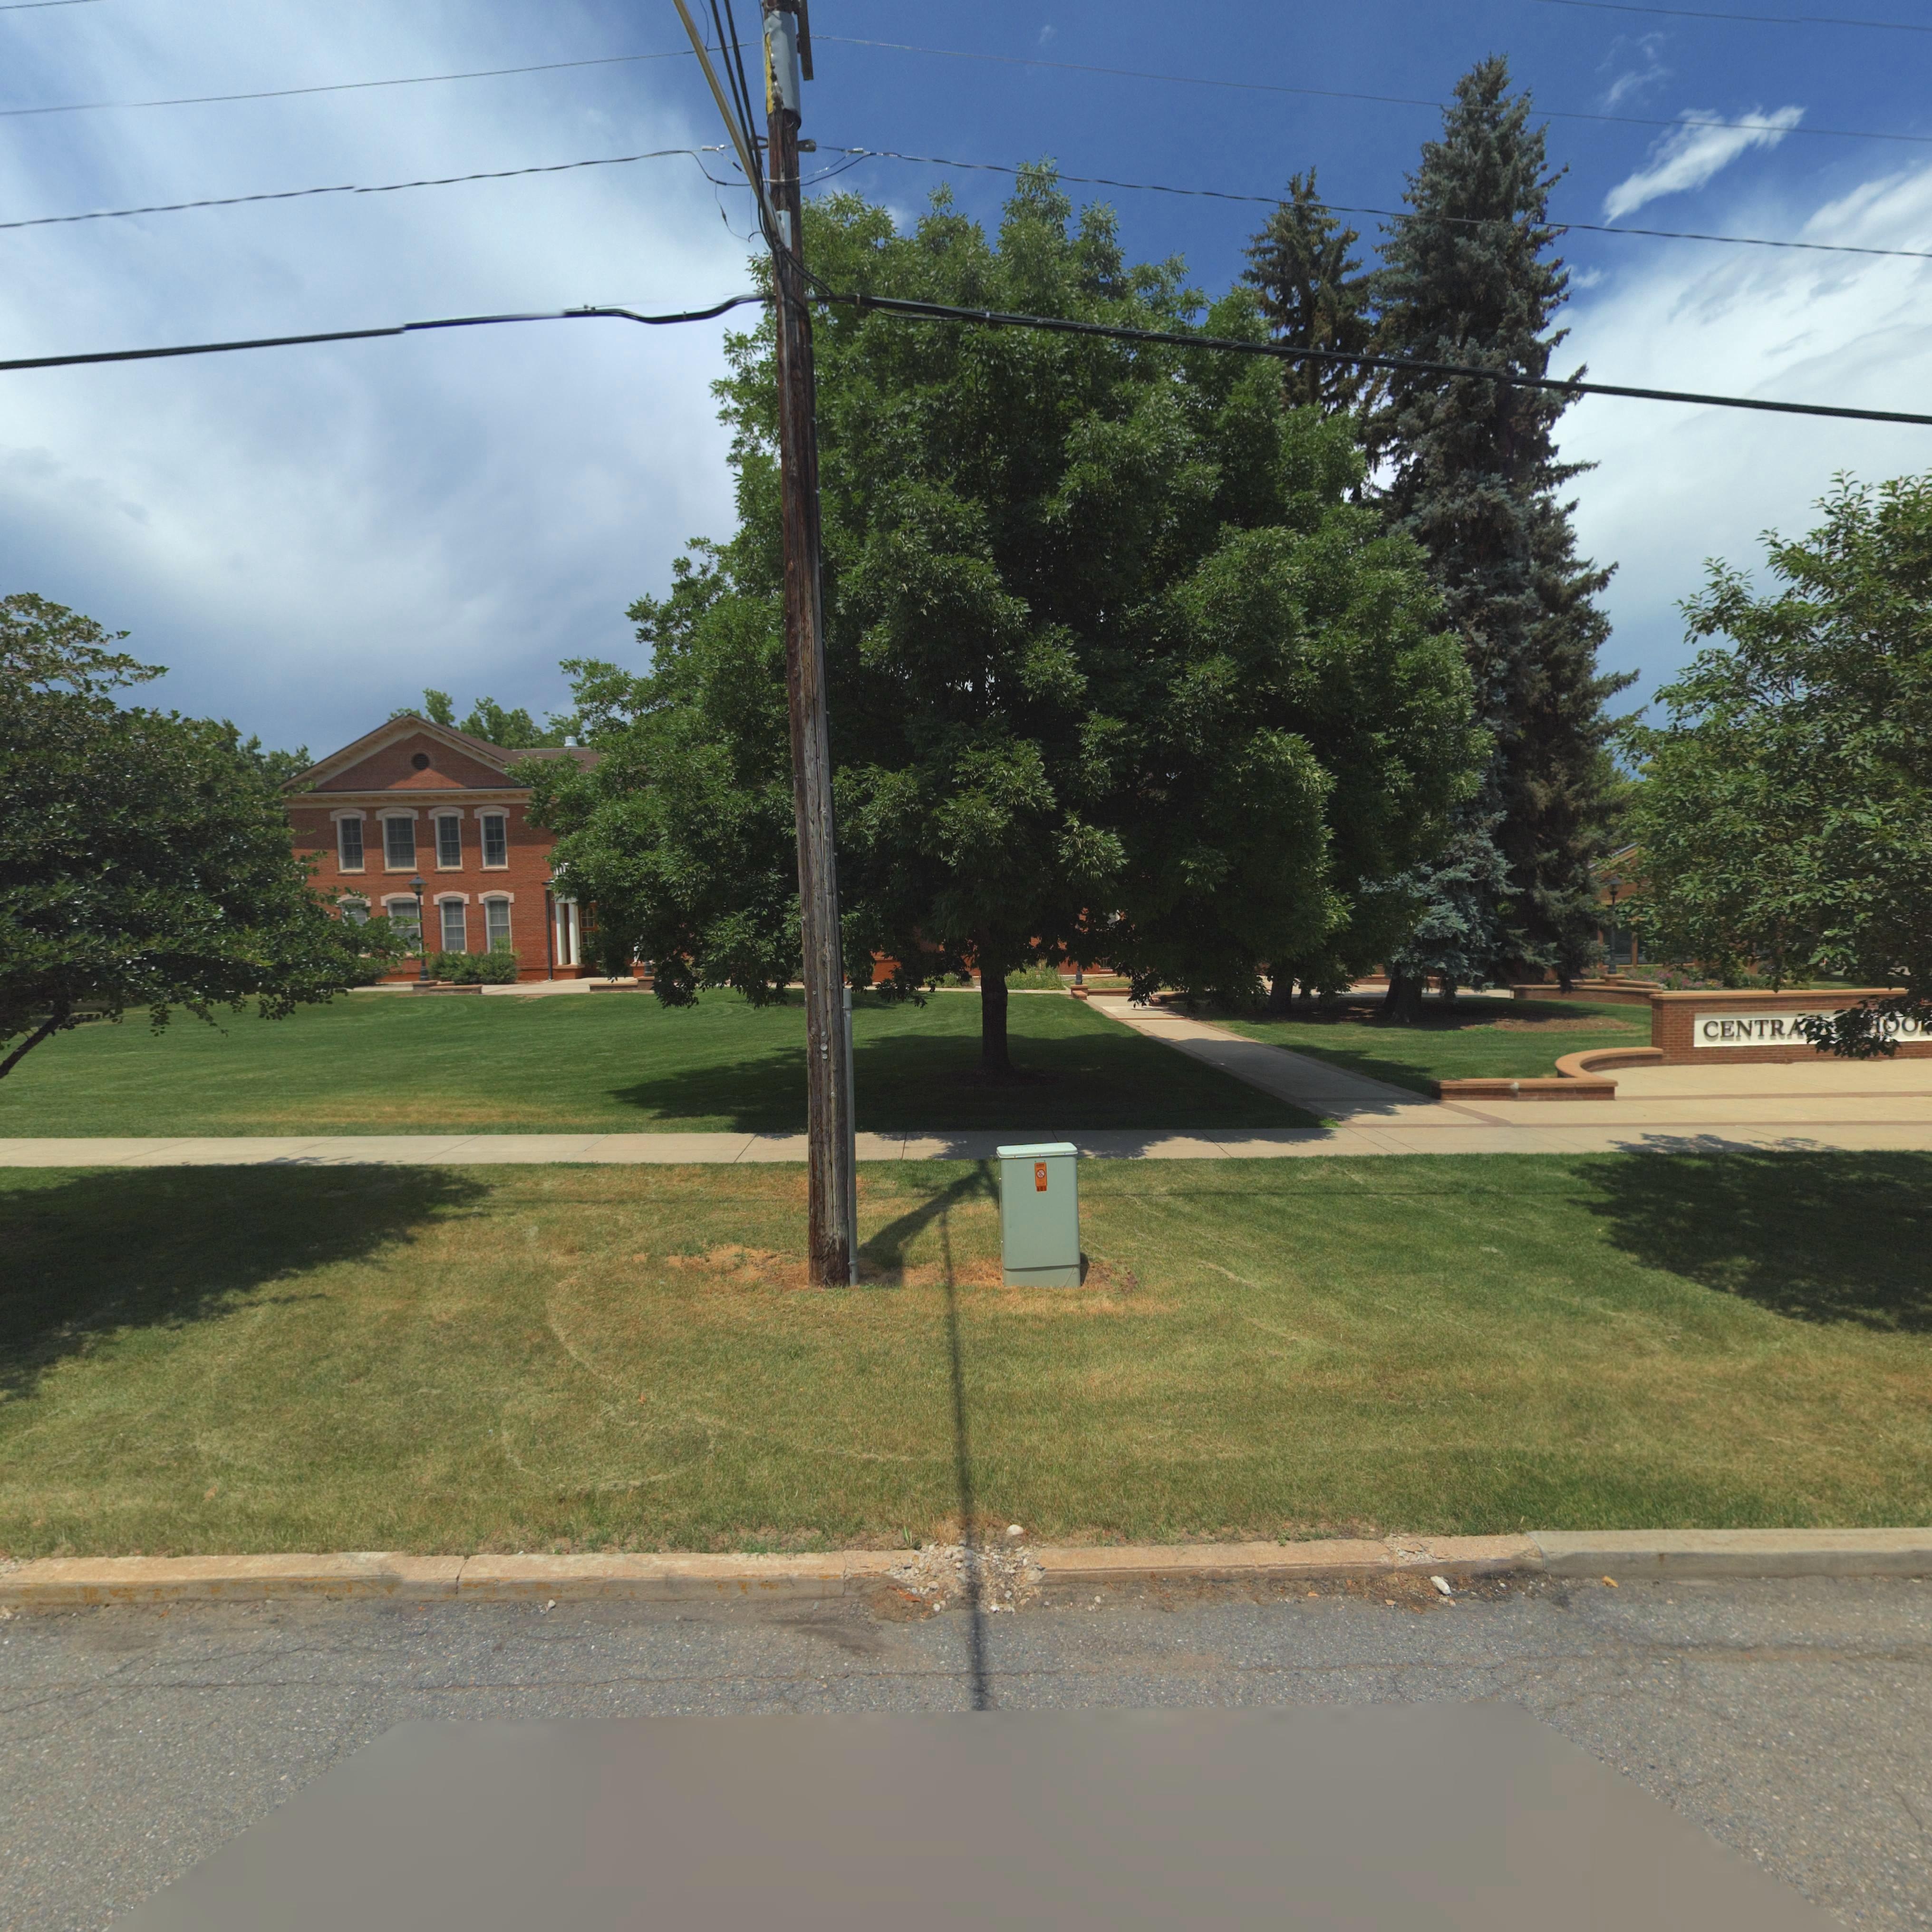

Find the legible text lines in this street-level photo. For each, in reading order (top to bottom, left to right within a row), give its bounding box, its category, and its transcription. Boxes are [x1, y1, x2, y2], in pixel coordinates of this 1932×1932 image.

[1700, 1016, 1806, 1041] BusinessName: CENTRA